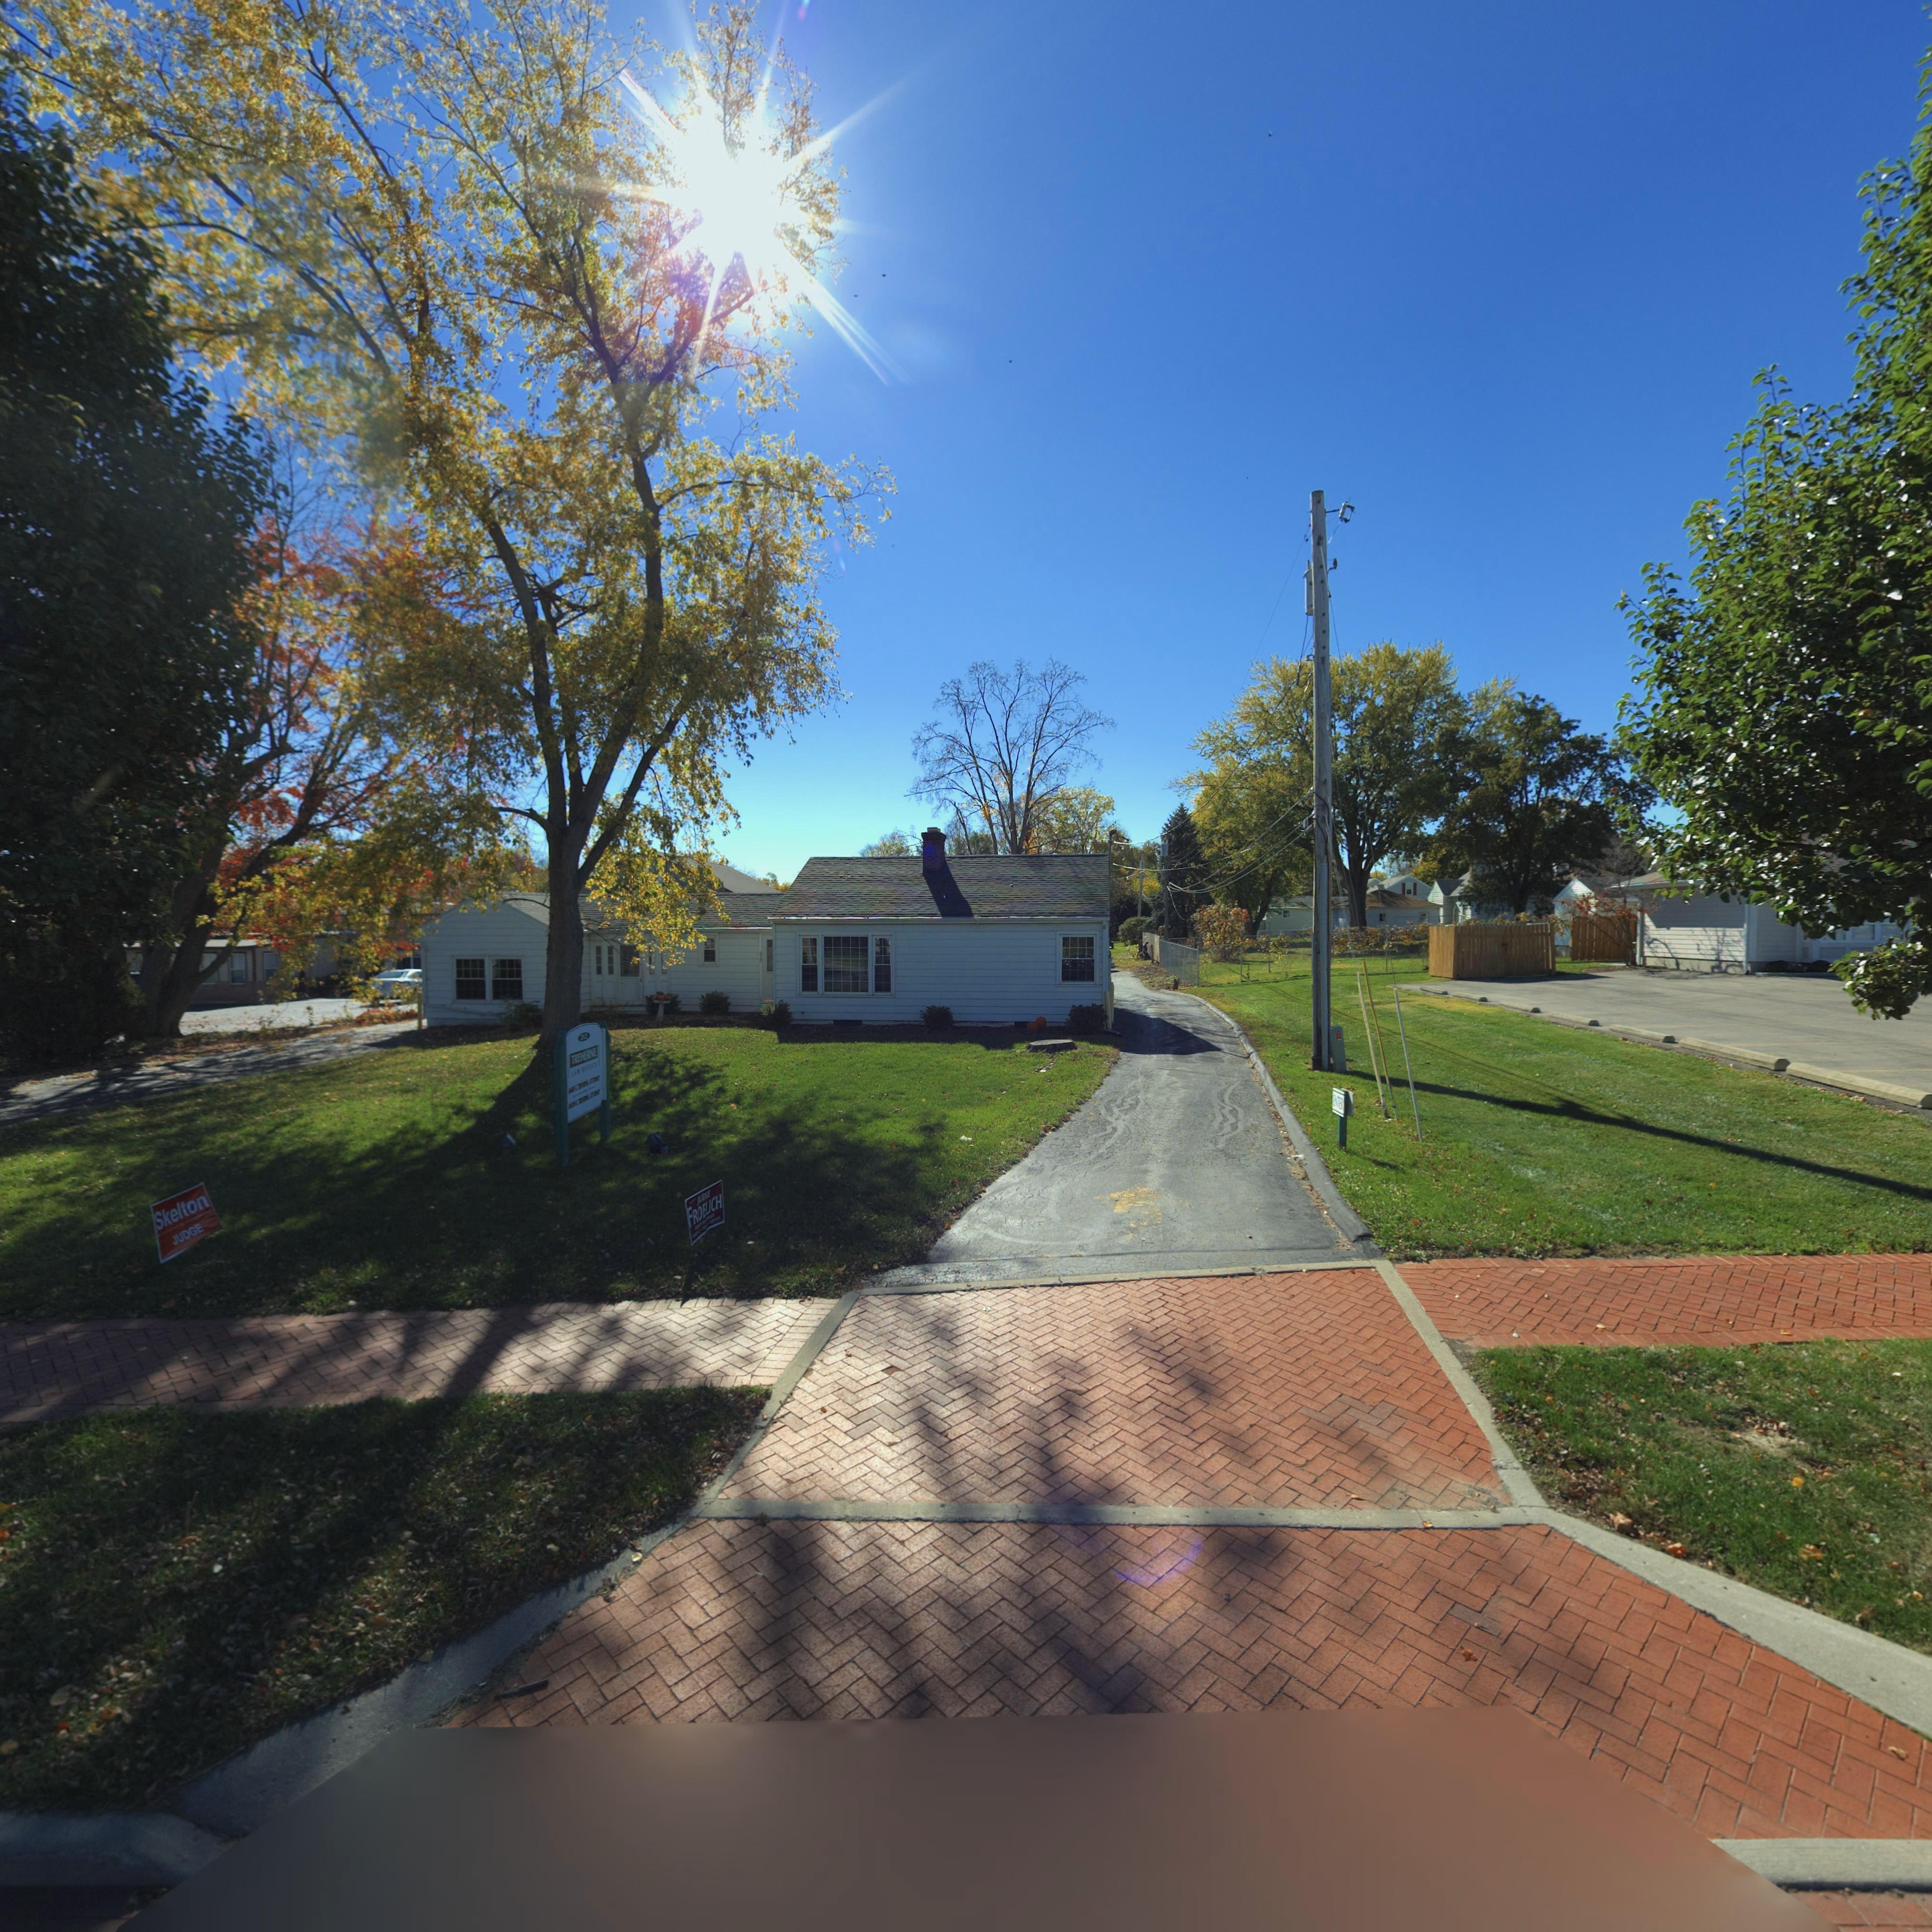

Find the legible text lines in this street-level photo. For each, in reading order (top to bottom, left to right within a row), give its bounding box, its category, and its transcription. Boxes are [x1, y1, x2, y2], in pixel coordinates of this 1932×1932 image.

[580, 1032, 588, 1042] StreetNumber: *12
[570, 1046, 598, 1066] BusinessName: TREHE**E
[570, 1060, 598, 1079] BusinessName: LAW OFFICE
[696, 1188, 711, 1207] None: JUDGE
[153, 1194, 212, 1233] None: Skelton
[686, 1192, 723, 1230] None: FROELICH
[171, 1221, 206, 1246] None: JUDGE